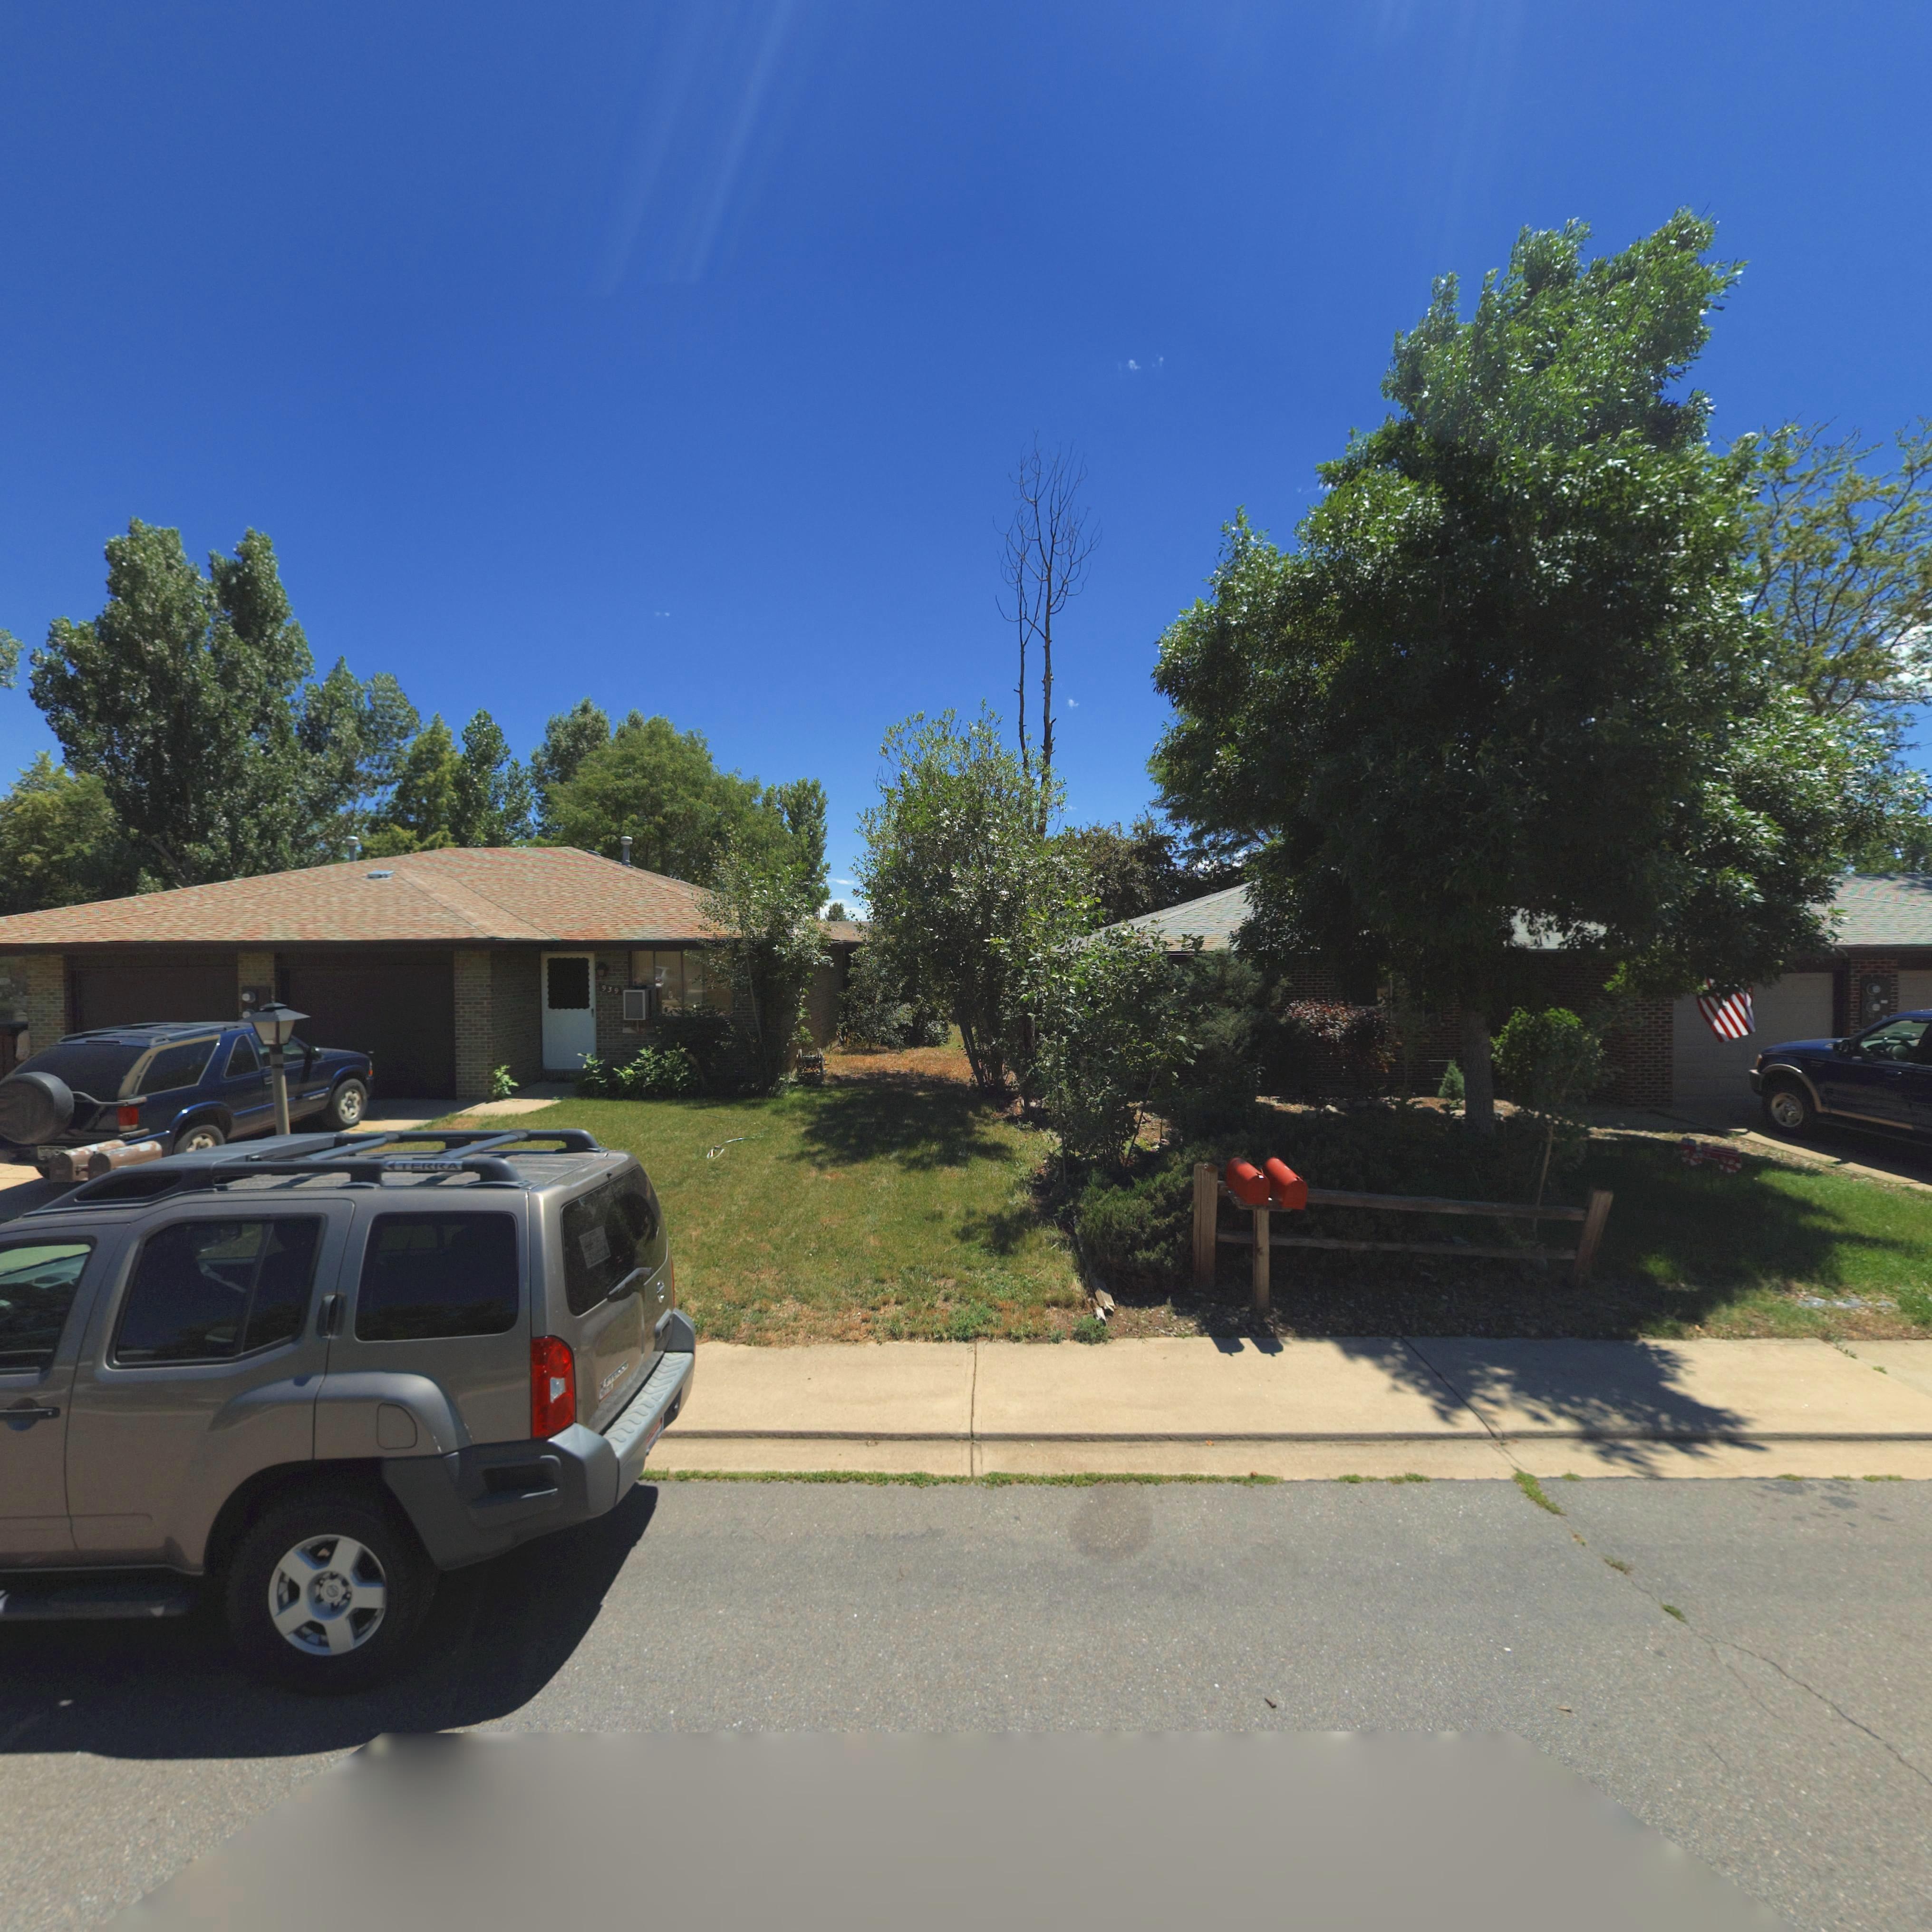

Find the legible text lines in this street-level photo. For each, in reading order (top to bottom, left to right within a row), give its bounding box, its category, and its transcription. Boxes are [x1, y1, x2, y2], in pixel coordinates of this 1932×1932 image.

[601, 985, 618, 994] StreetNumber: 939